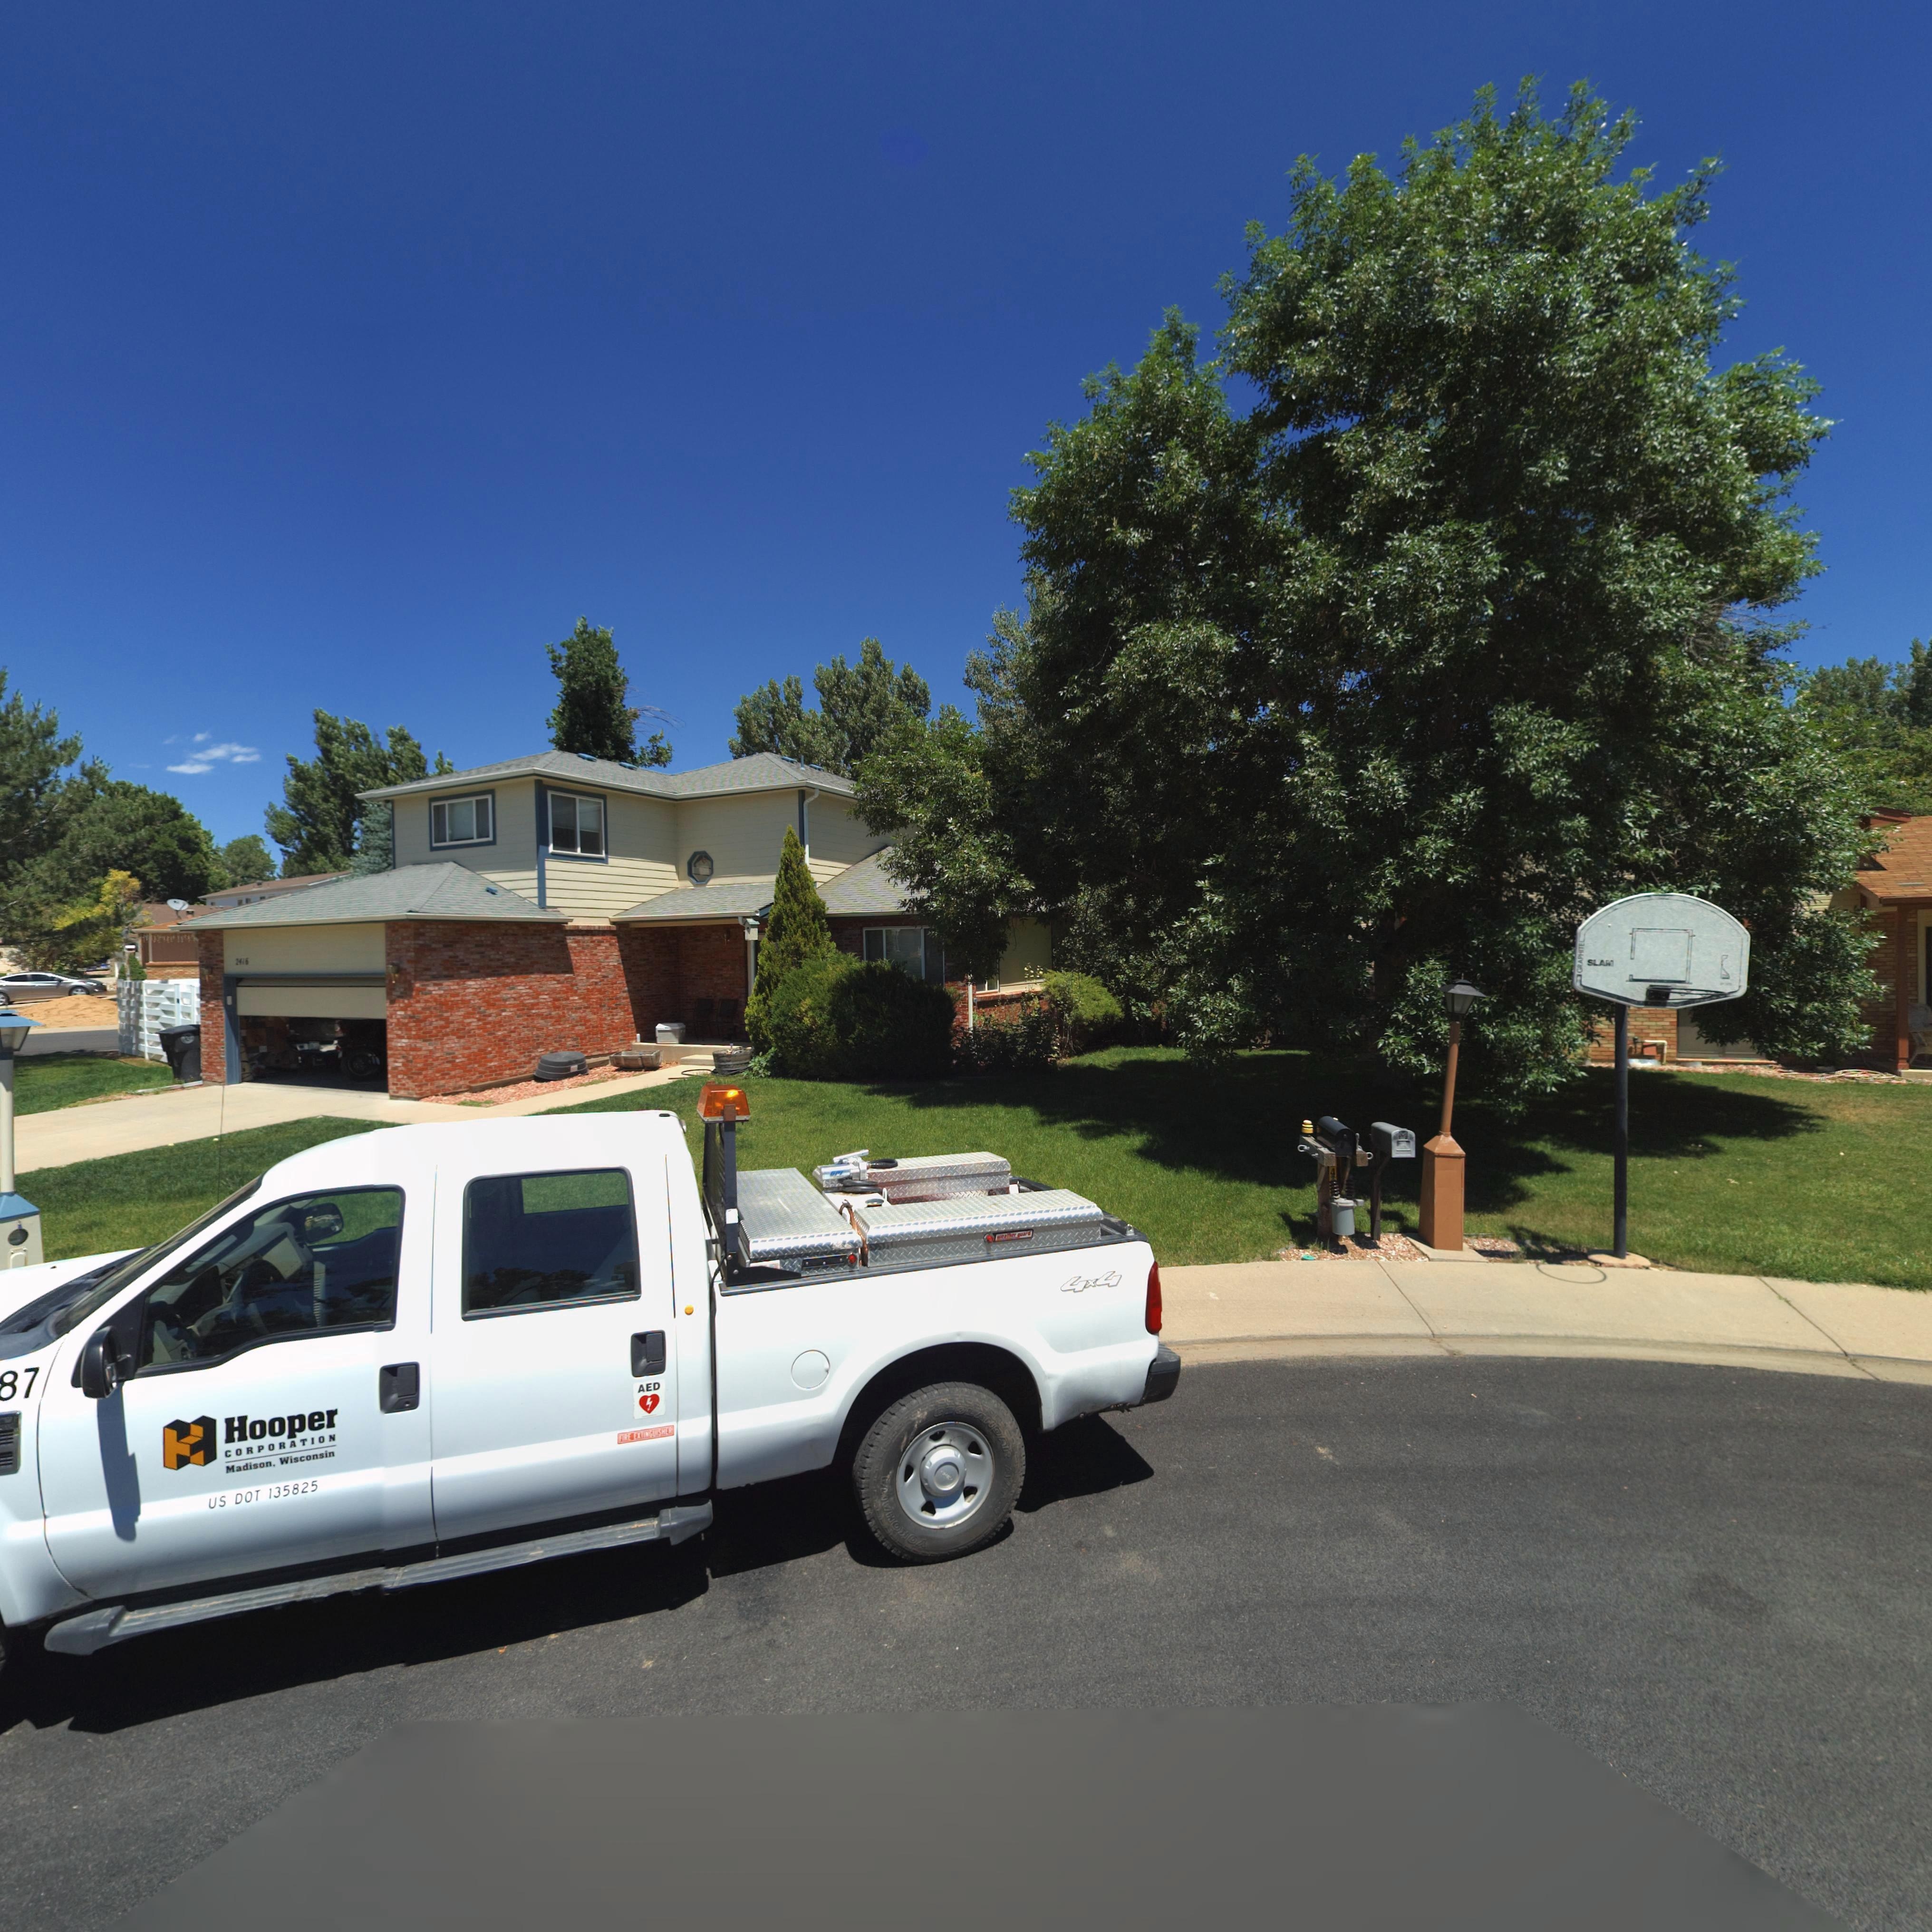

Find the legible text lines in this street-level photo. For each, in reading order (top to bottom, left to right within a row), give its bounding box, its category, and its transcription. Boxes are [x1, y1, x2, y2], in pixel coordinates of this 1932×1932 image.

[235, 957, 249, 965] StreetNumber: 2416